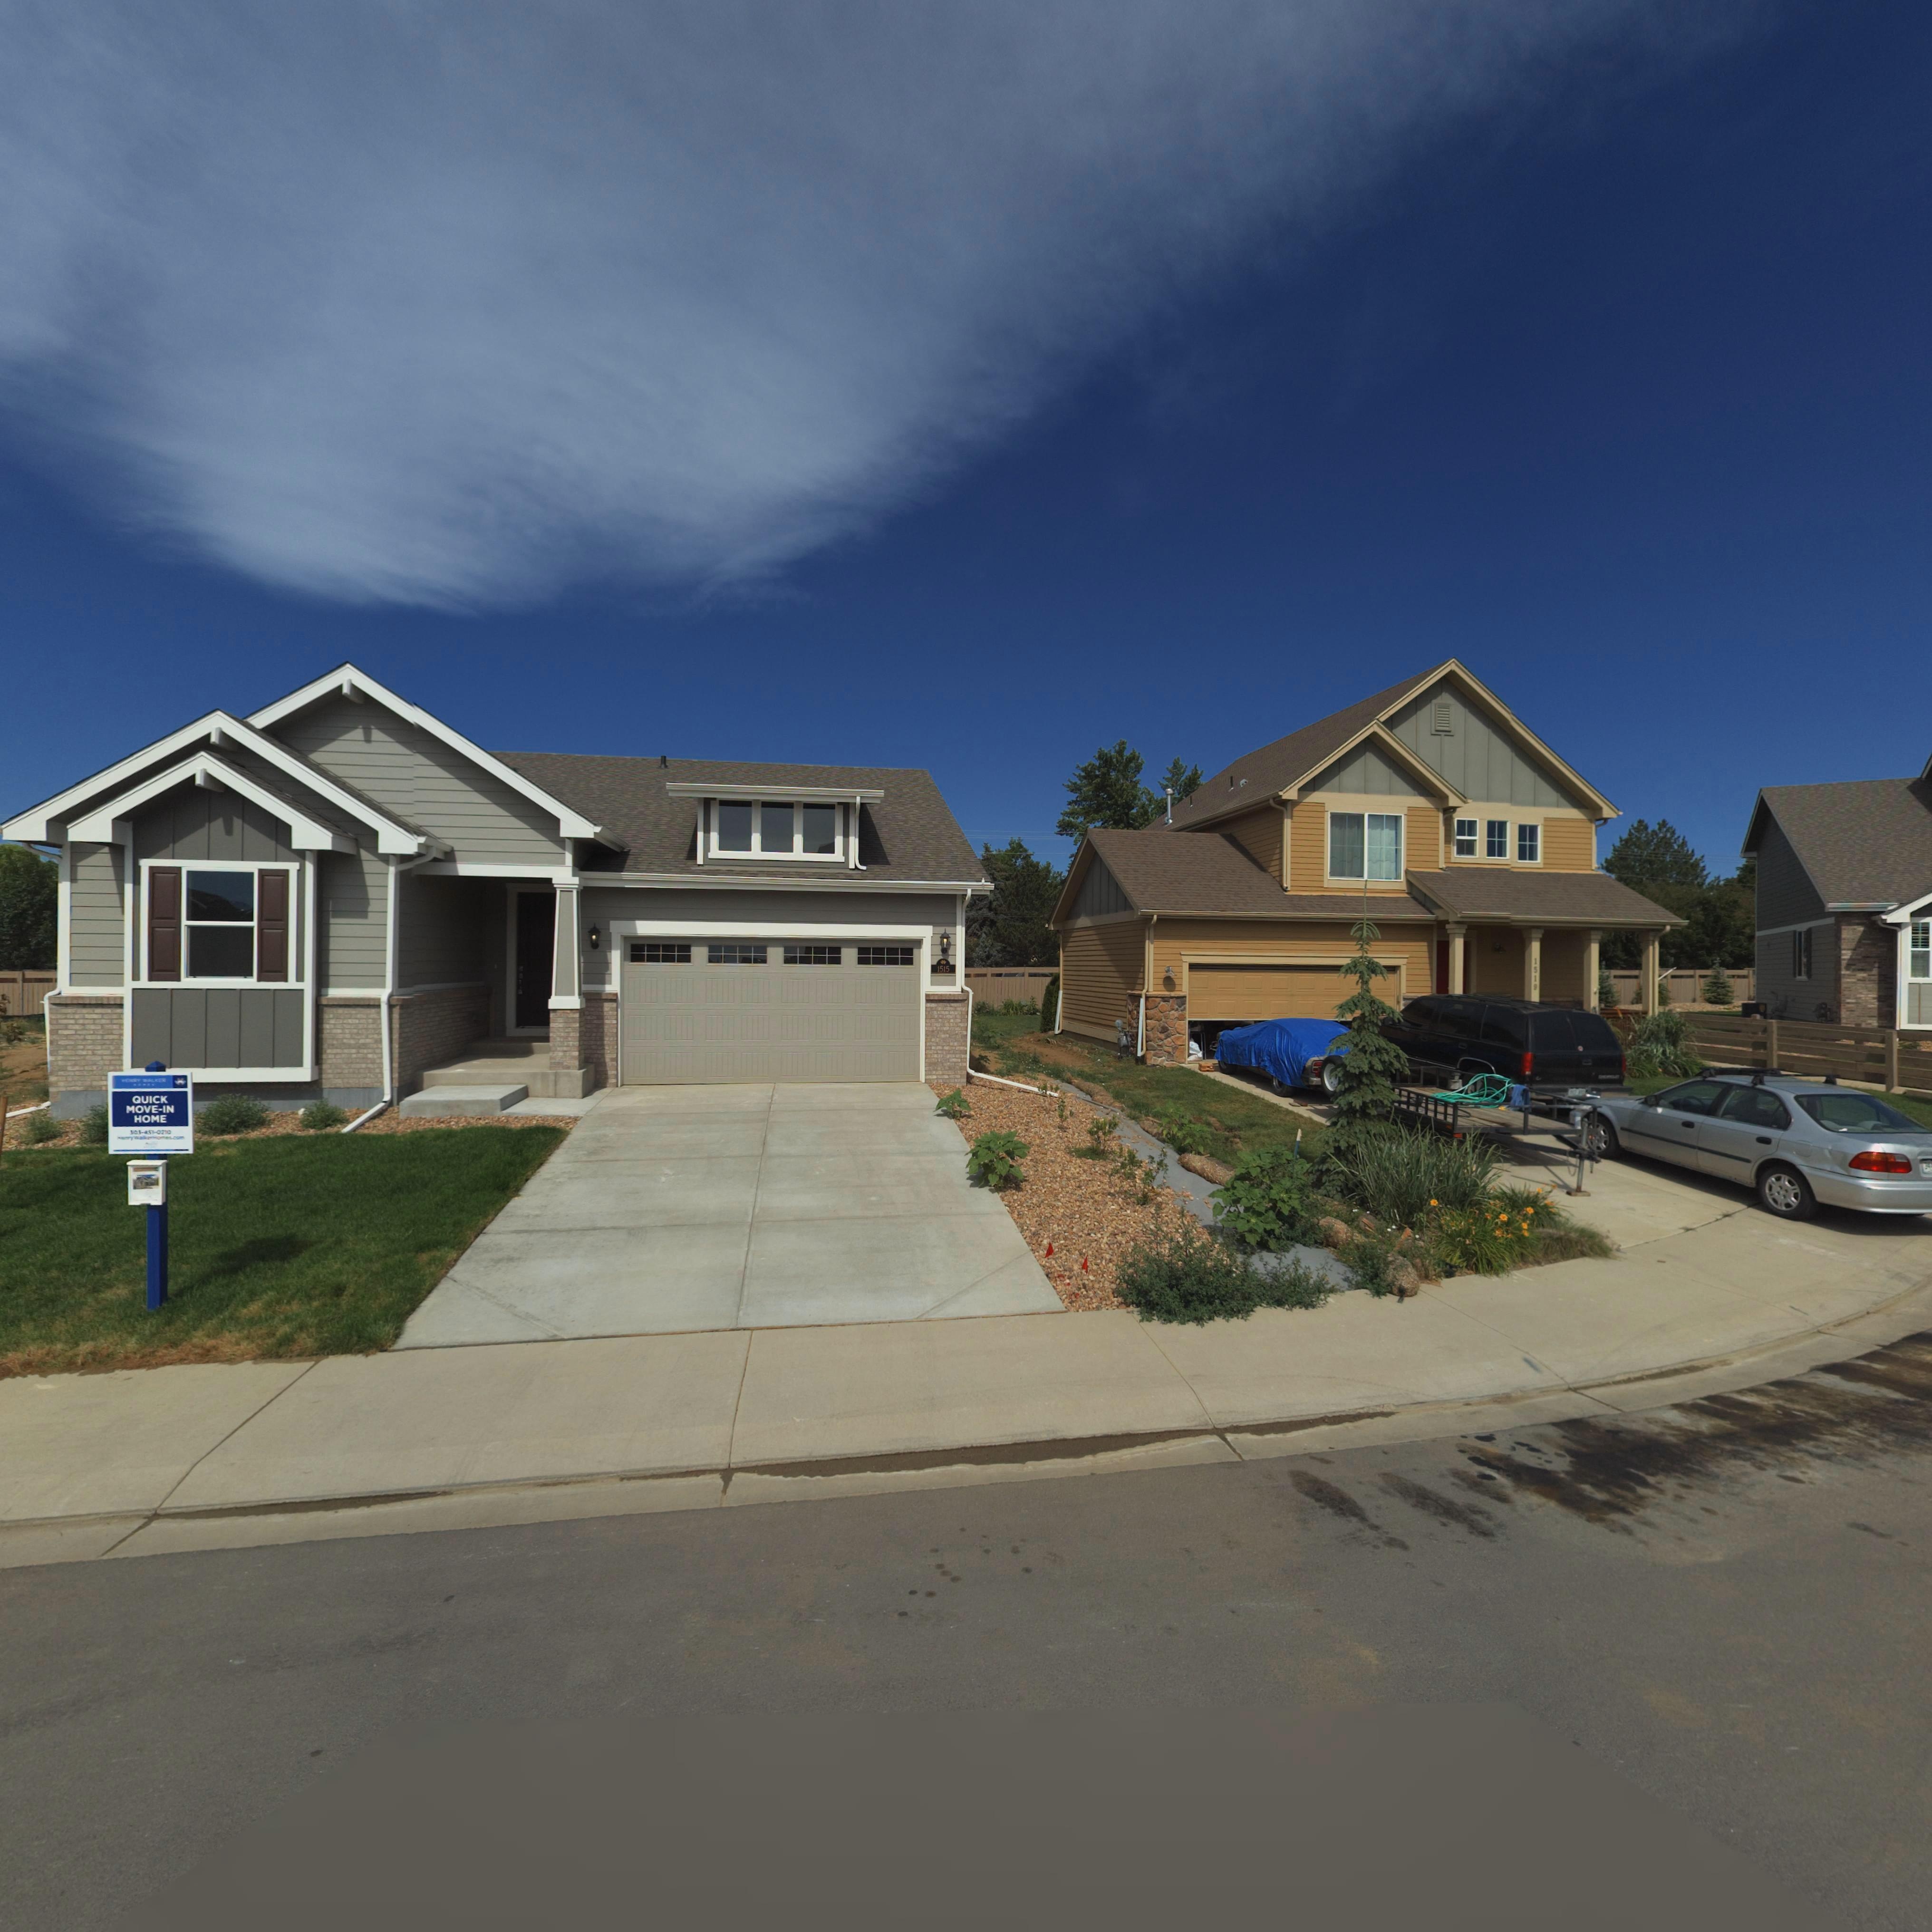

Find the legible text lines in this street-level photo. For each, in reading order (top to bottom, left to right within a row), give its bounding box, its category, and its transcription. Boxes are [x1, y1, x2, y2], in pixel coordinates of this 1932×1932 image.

[937, 966, 949, 972] StreetNumber: 1515
[1533, 957, 1538, 991] StreetNumber: 1519